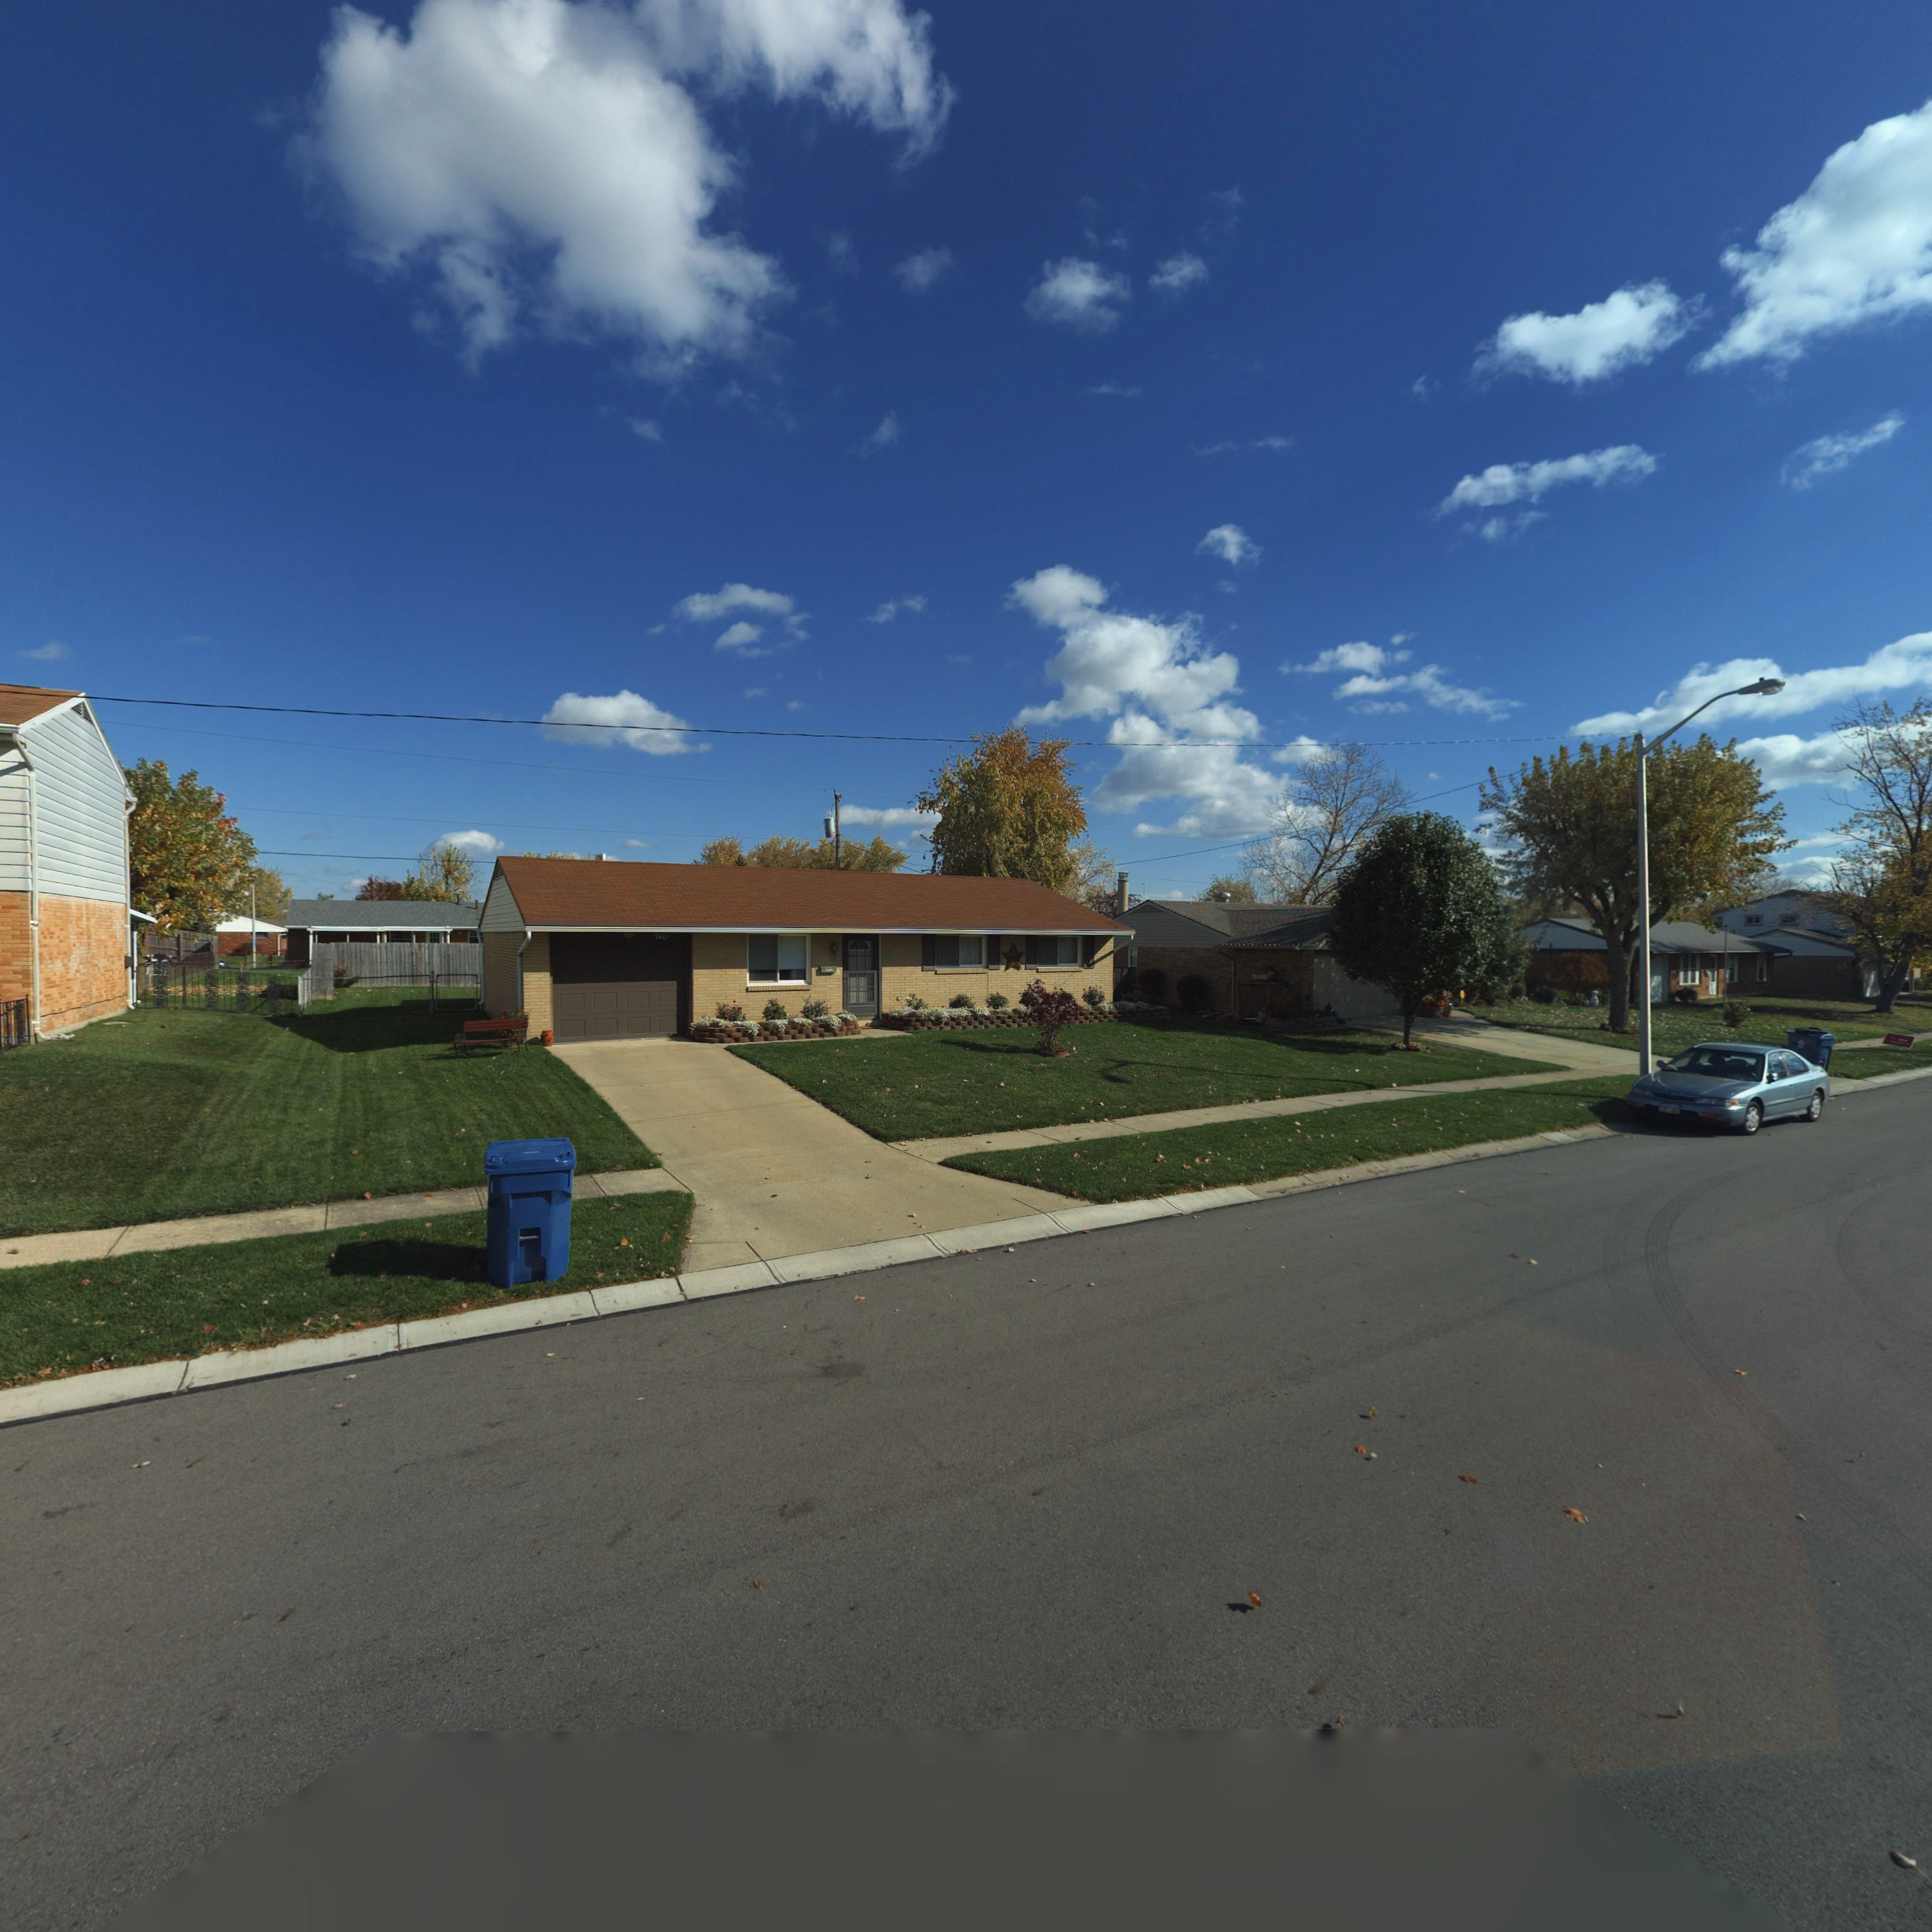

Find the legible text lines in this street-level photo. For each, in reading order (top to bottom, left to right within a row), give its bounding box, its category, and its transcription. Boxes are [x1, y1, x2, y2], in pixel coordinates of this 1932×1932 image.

[654, 932, 669, 941] StreetNumber: 7401